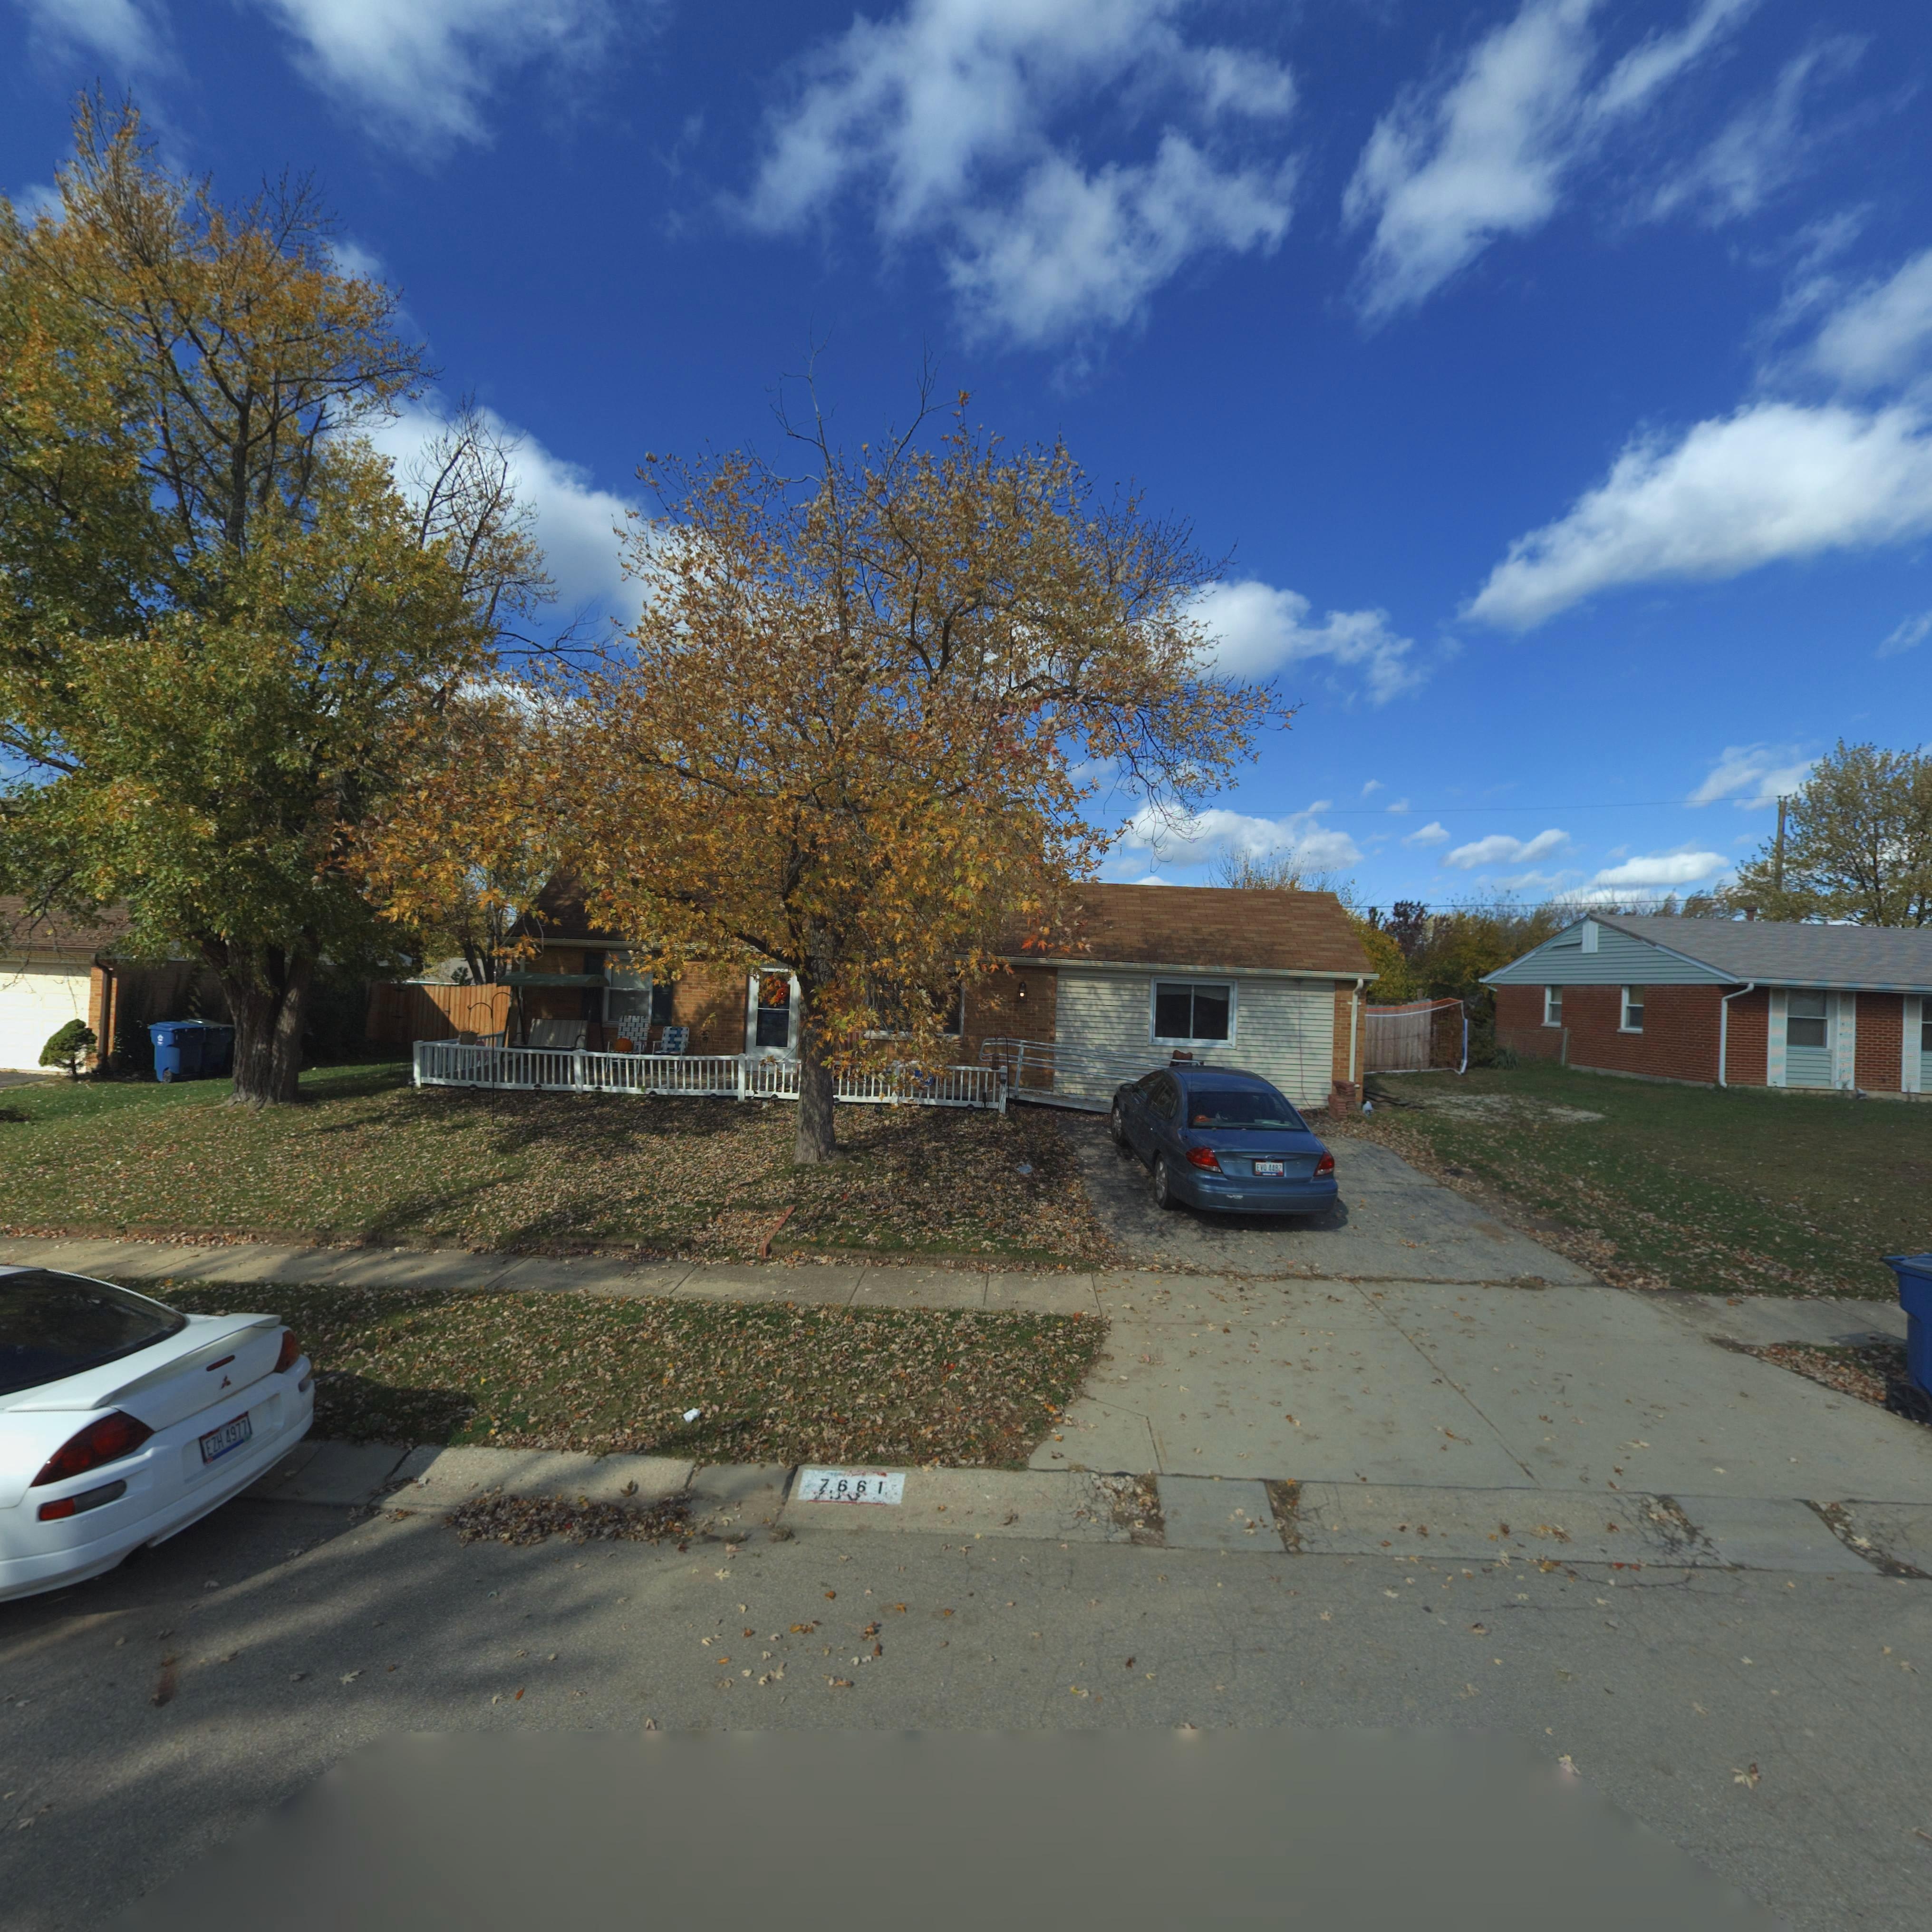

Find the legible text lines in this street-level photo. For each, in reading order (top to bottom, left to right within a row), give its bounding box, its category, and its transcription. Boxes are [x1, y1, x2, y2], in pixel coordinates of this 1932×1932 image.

[818, 1478, 884, 1495] StreetNumber: 7661